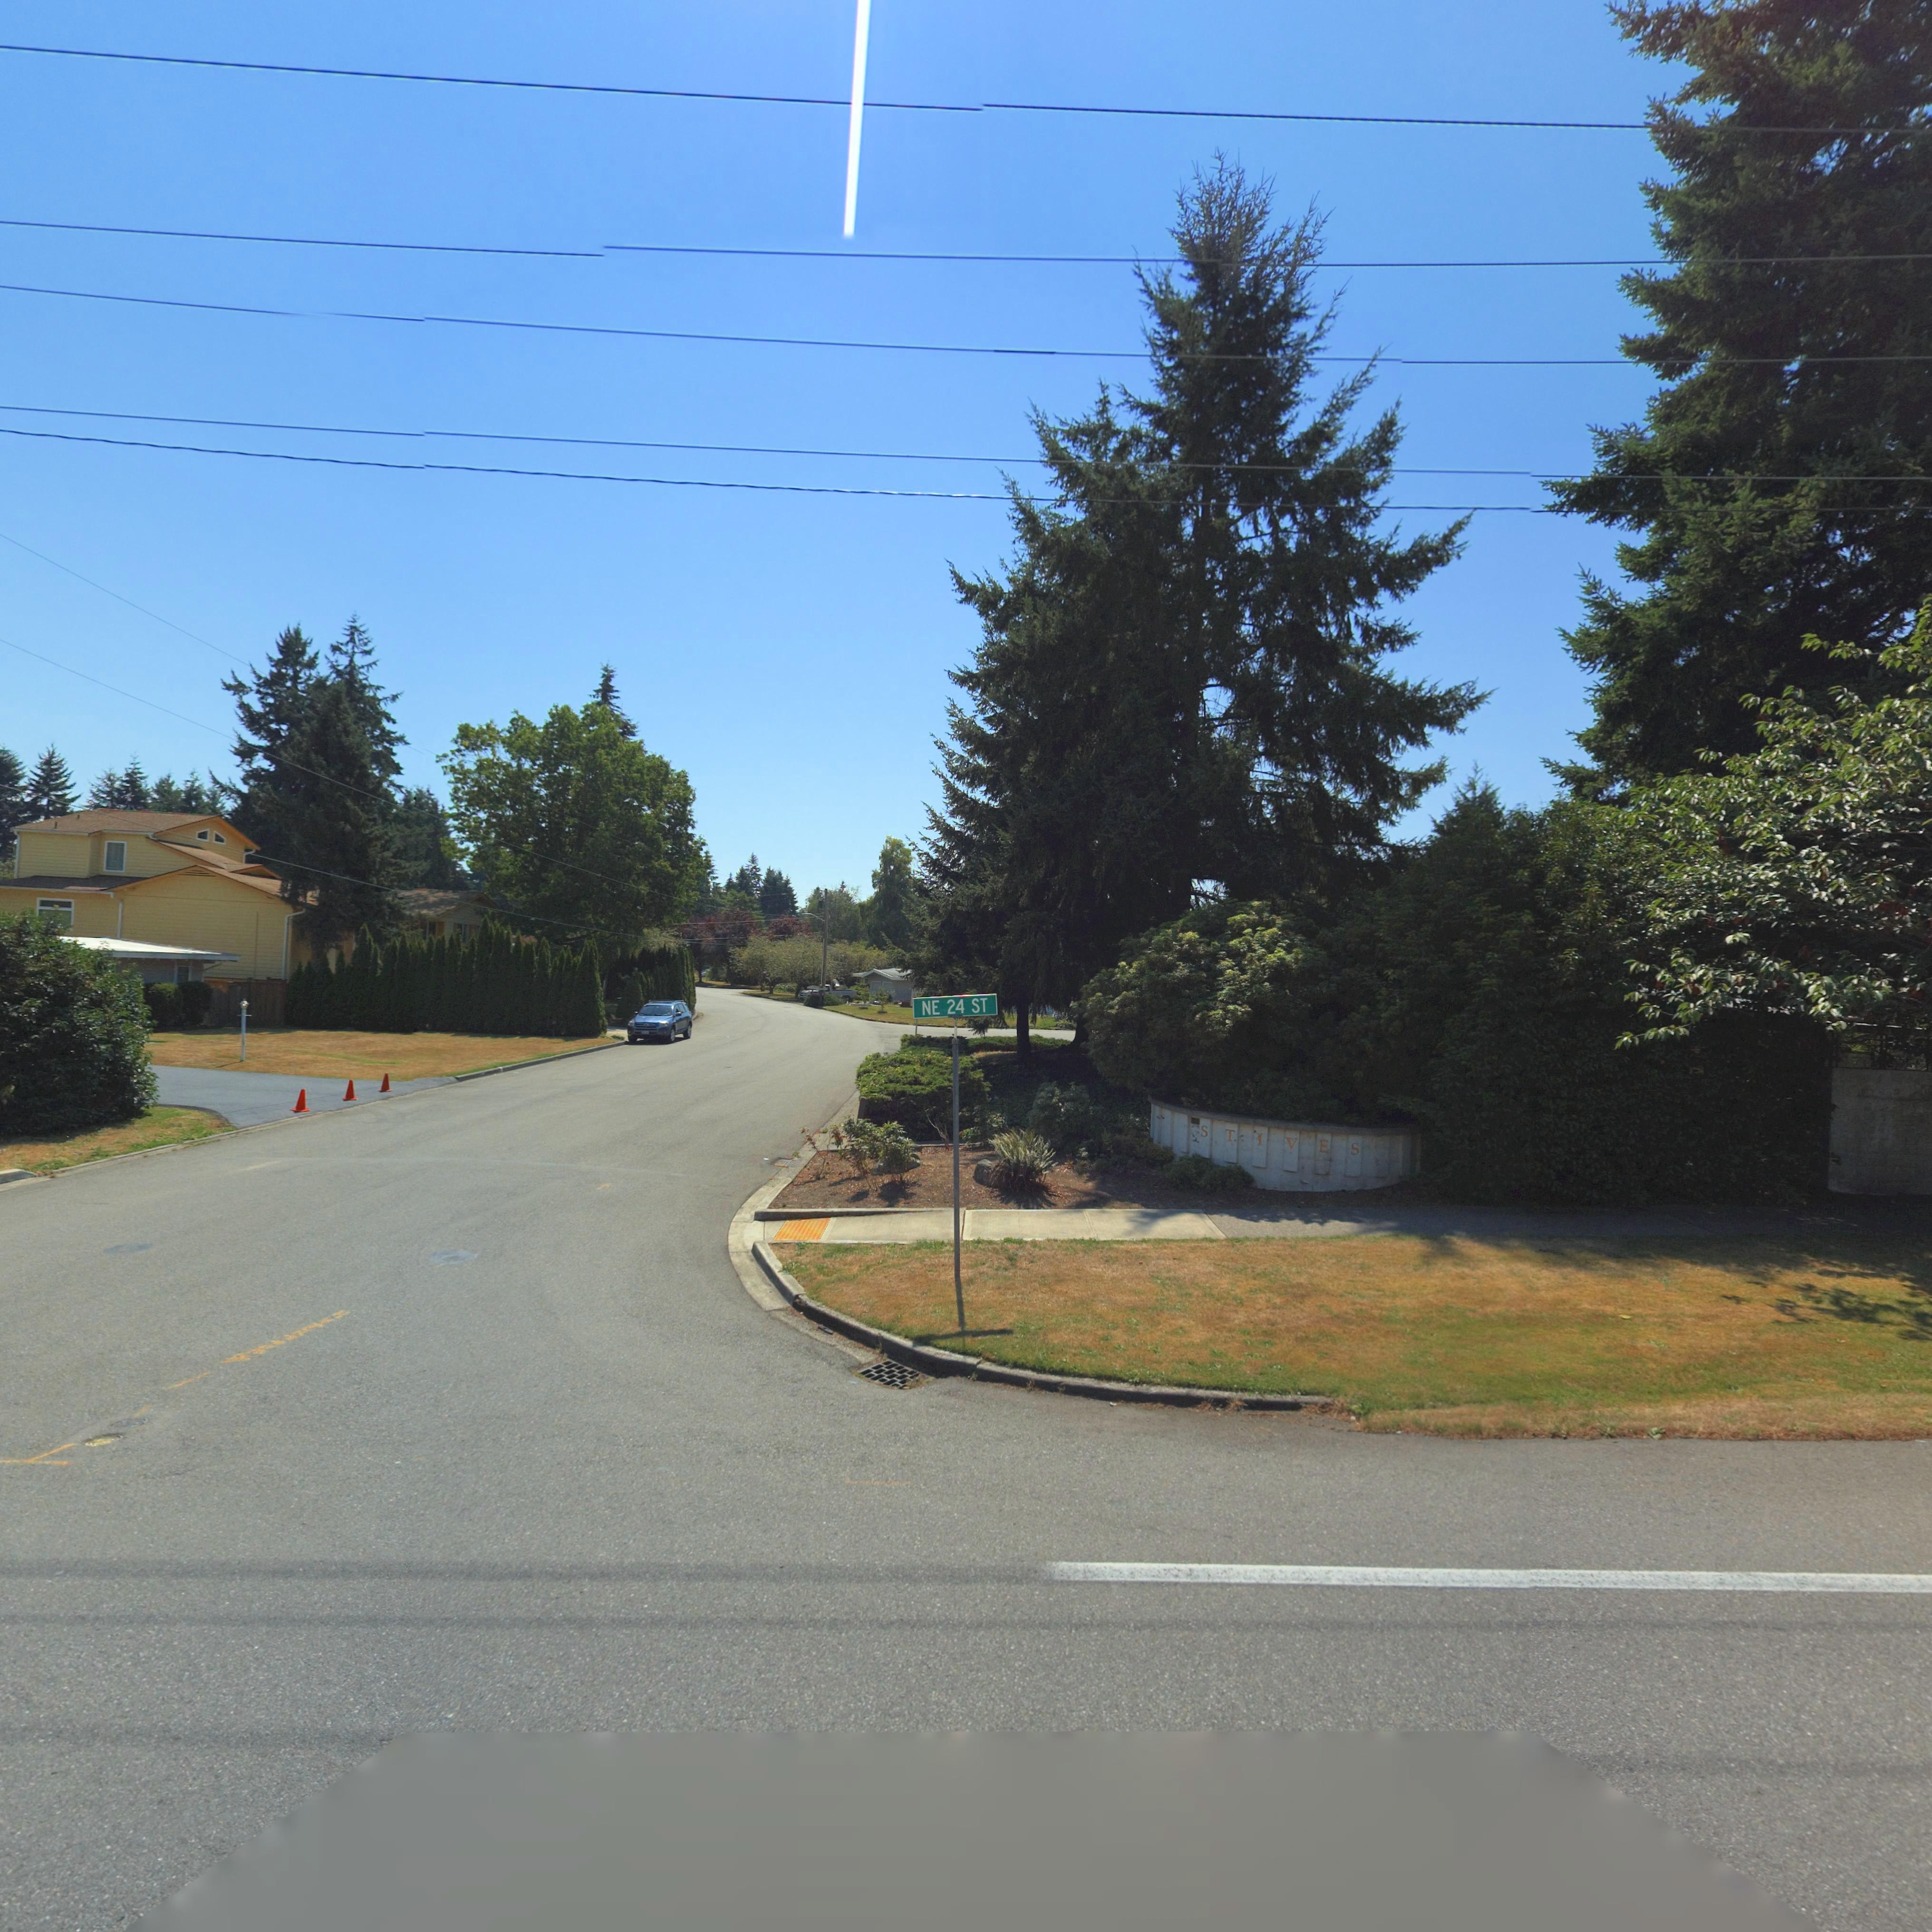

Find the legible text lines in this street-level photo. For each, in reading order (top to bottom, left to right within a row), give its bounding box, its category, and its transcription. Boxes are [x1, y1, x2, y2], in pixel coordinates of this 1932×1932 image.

[921, 997, 987, 1015] StreetName: NE 24 ST